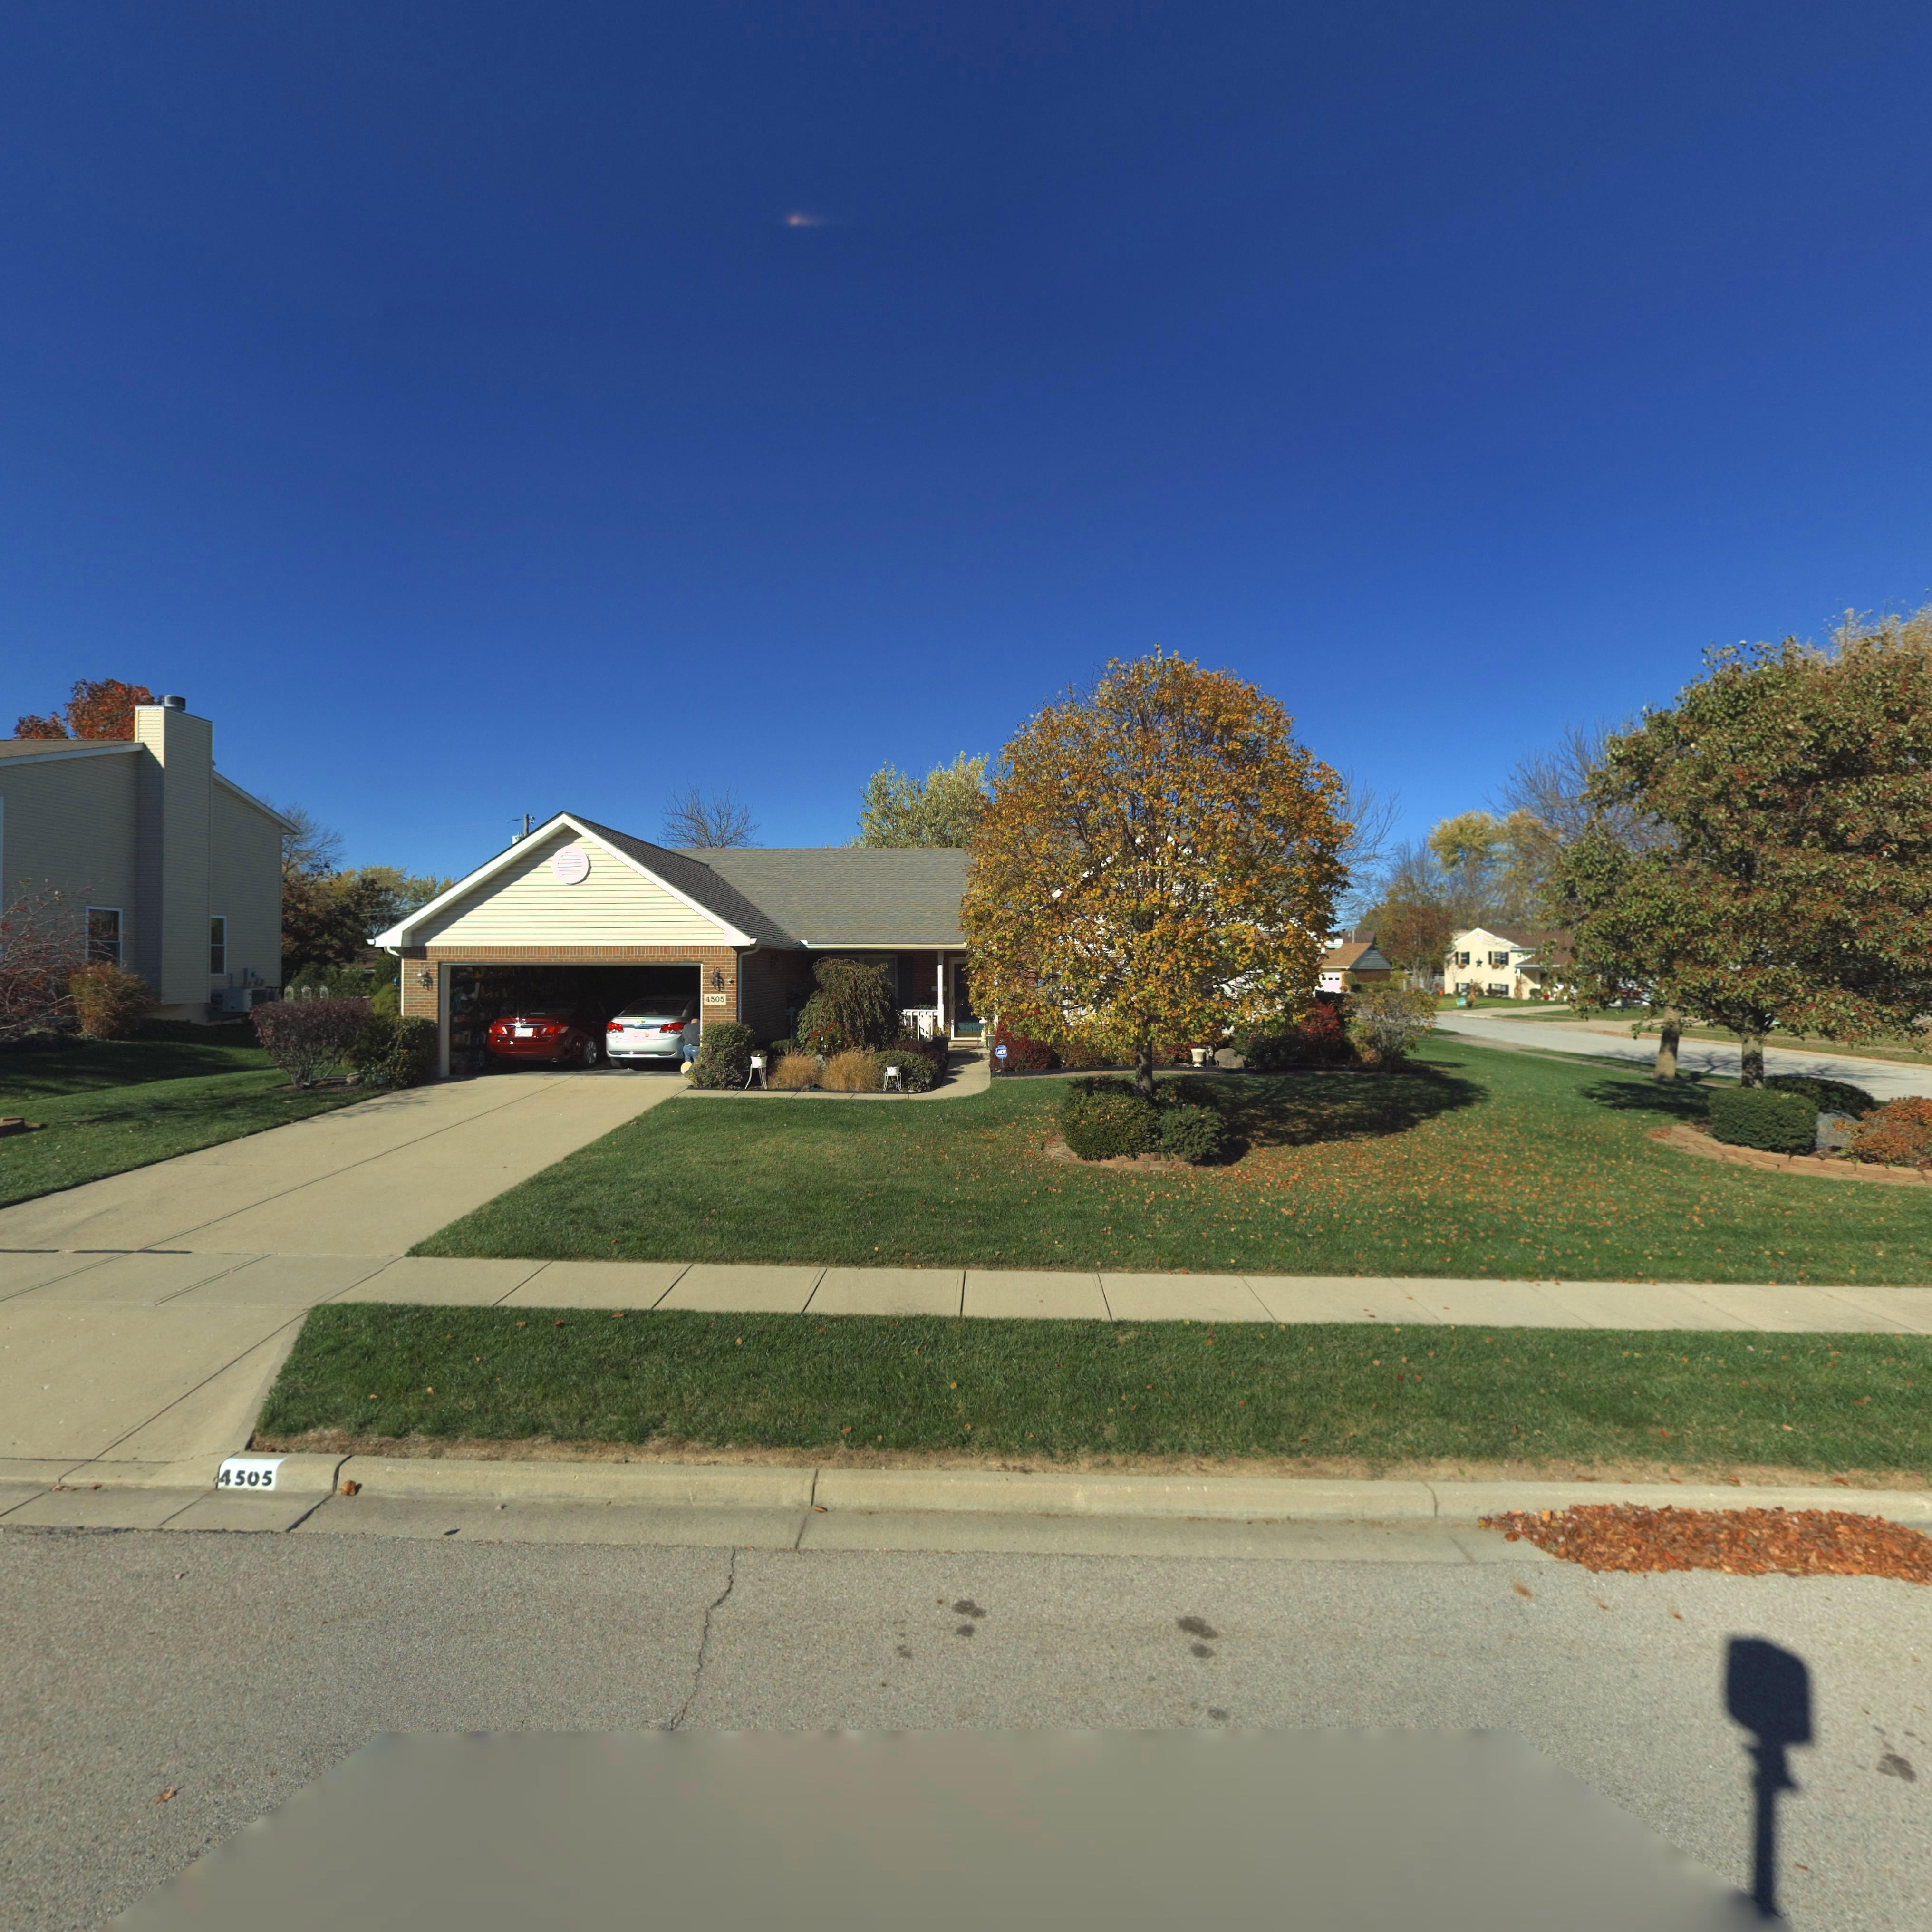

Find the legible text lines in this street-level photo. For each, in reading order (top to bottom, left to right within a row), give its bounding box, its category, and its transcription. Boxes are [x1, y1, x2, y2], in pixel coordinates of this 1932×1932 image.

[705, 995, 725, 1004] StreetNumber: 4505
[217, 1468, 274, 1488] StreetNumber: 4505